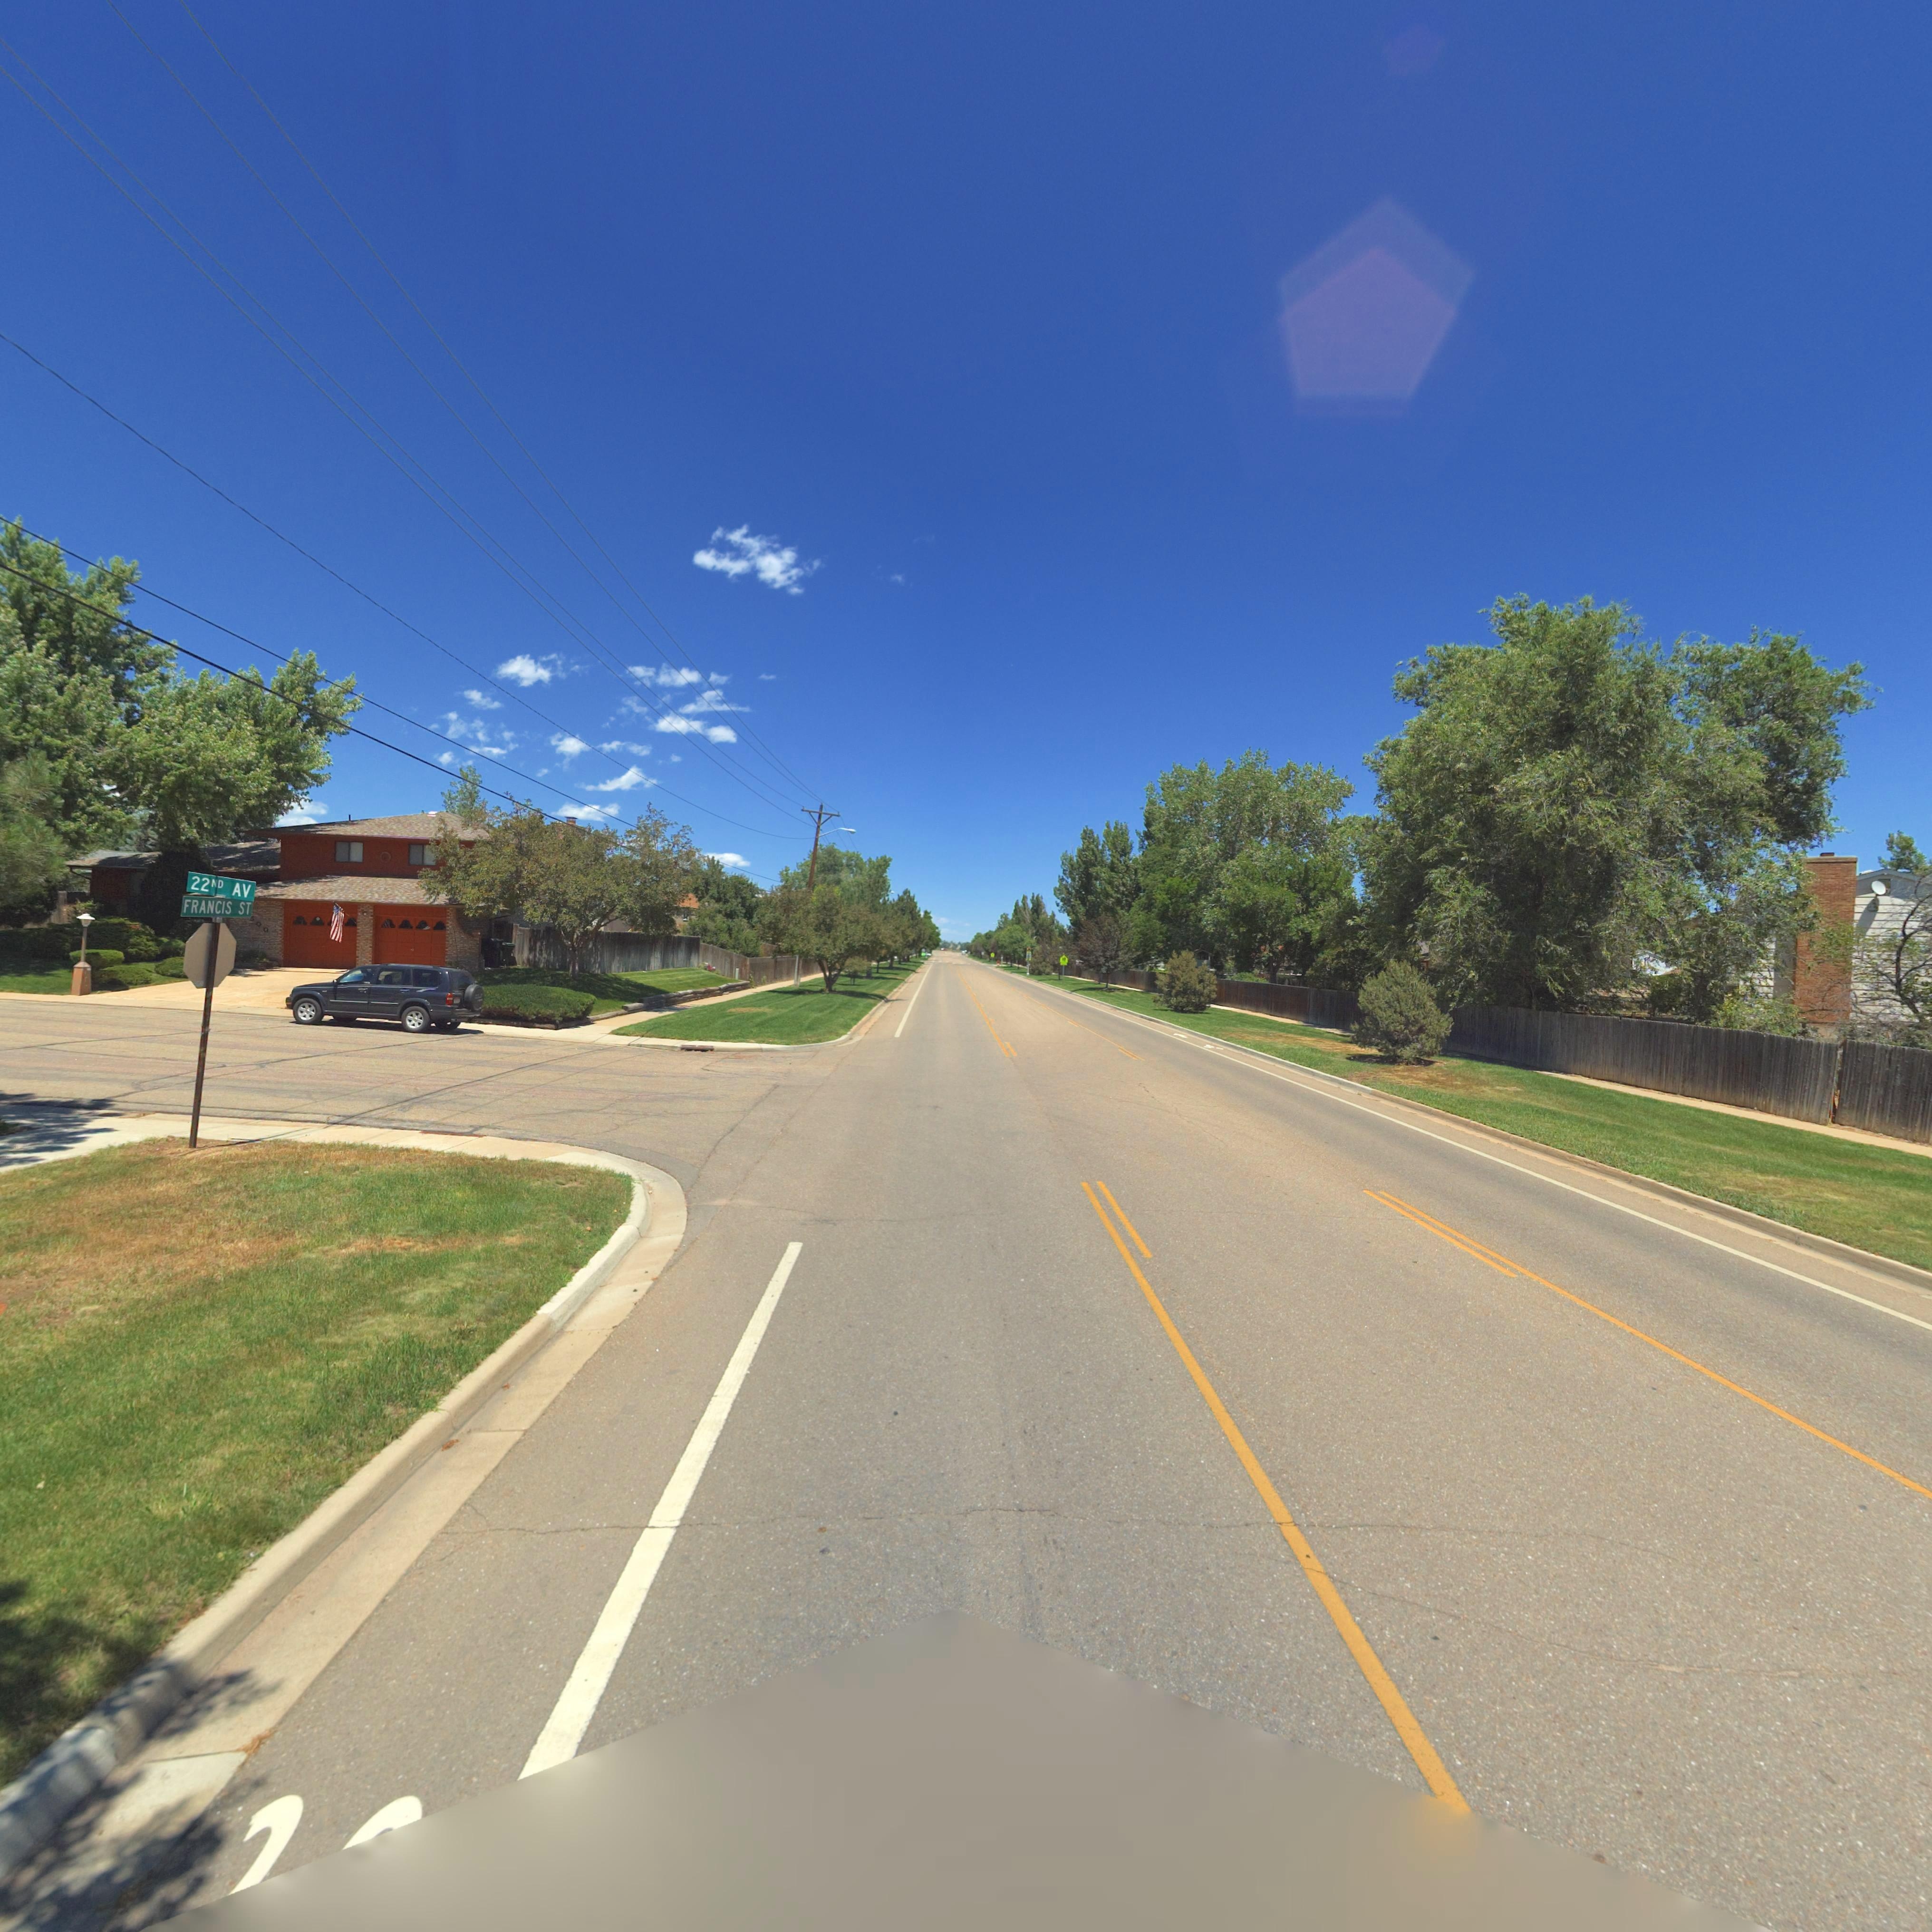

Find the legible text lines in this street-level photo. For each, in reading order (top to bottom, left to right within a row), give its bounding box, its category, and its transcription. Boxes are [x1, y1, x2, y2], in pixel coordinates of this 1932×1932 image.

[190, 875, 252, 898] StreetName: 22ND AV
[183, 899, 252, 915] BusinessName: FRANCIS ST
[249, 915, 269, 933] StreetNumber: 300